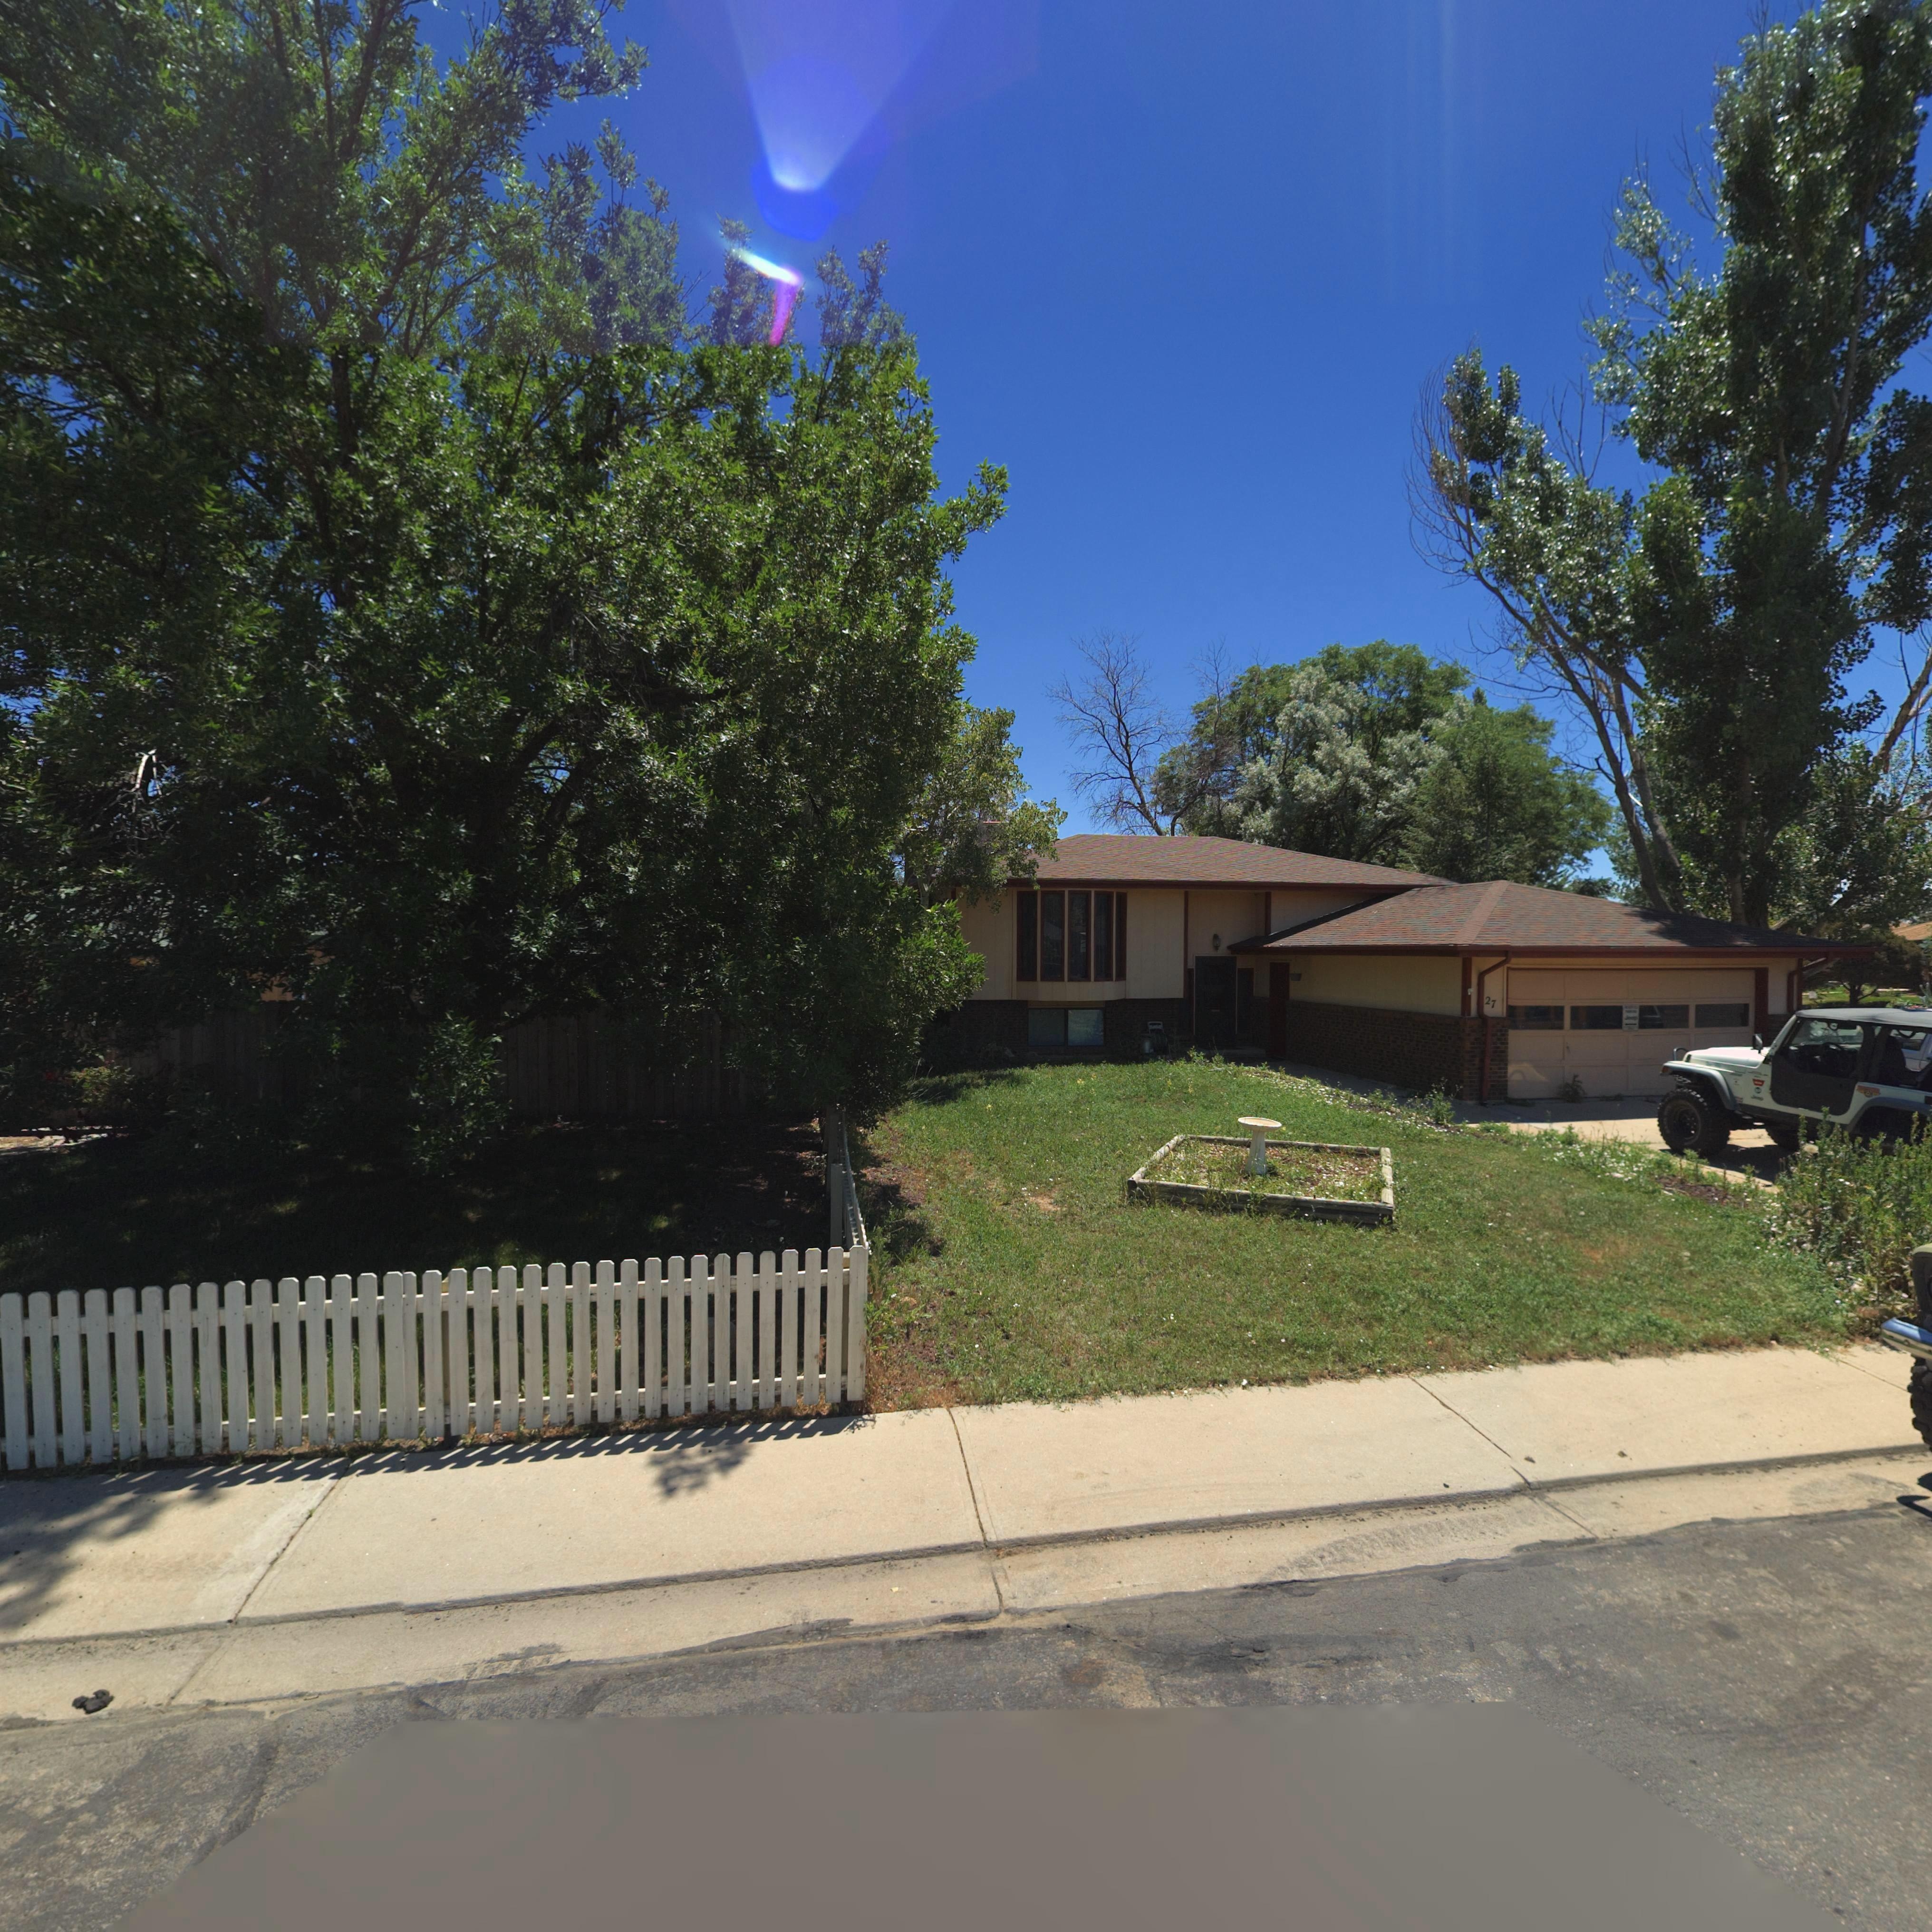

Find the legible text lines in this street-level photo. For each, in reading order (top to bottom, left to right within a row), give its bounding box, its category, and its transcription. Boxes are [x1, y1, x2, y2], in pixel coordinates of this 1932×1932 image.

[1485, 995, 1496, 1008] StreetNumber: 27